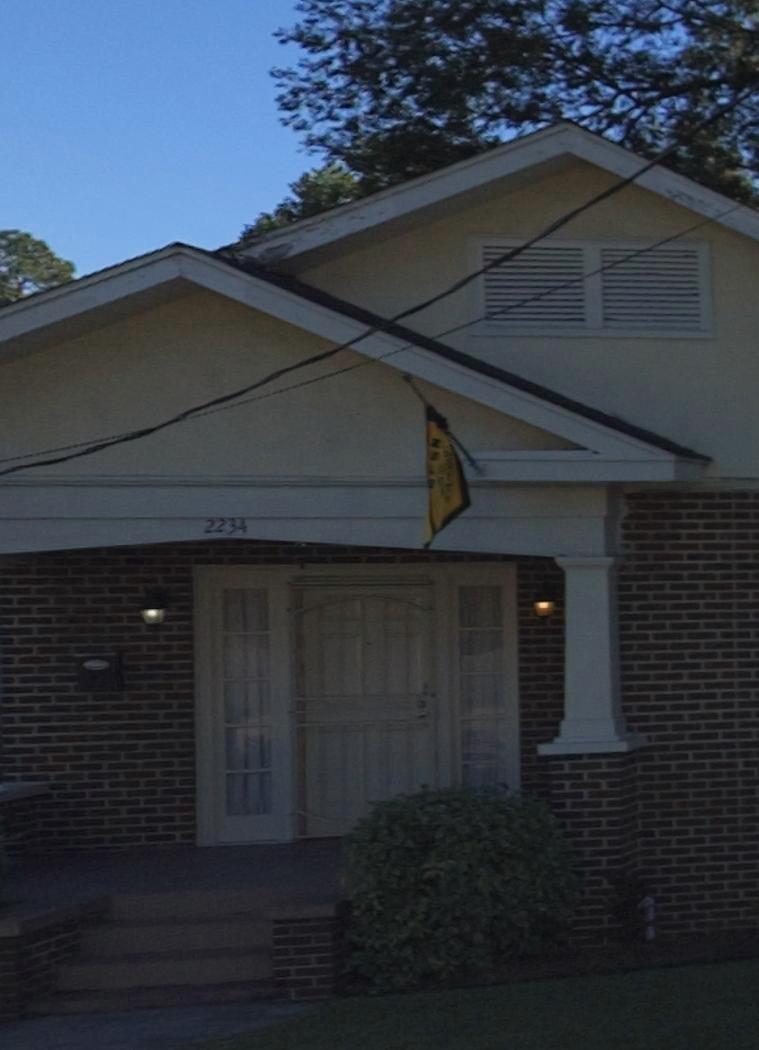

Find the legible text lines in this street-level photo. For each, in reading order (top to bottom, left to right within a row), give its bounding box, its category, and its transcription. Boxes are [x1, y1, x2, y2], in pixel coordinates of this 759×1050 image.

[202, 515, 250, 537] StreetNumber: 2234